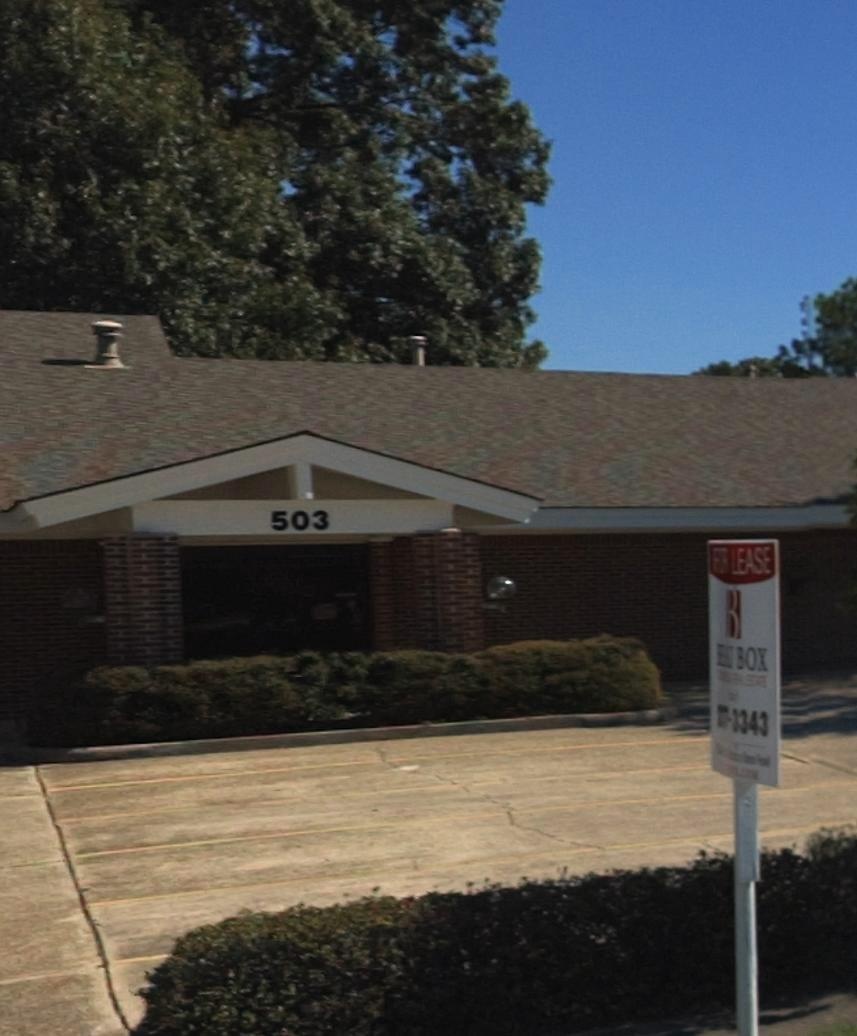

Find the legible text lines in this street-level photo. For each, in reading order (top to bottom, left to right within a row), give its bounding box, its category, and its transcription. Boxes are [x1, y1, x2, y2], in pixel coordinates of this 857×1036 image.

[269, 507, 331, 534] StreetNumber: 503
[727, 543, 775, 578] None: LEASE
[733, 642, 771, 676] None: BOX
[727, 705, 772, 743] None: 3343